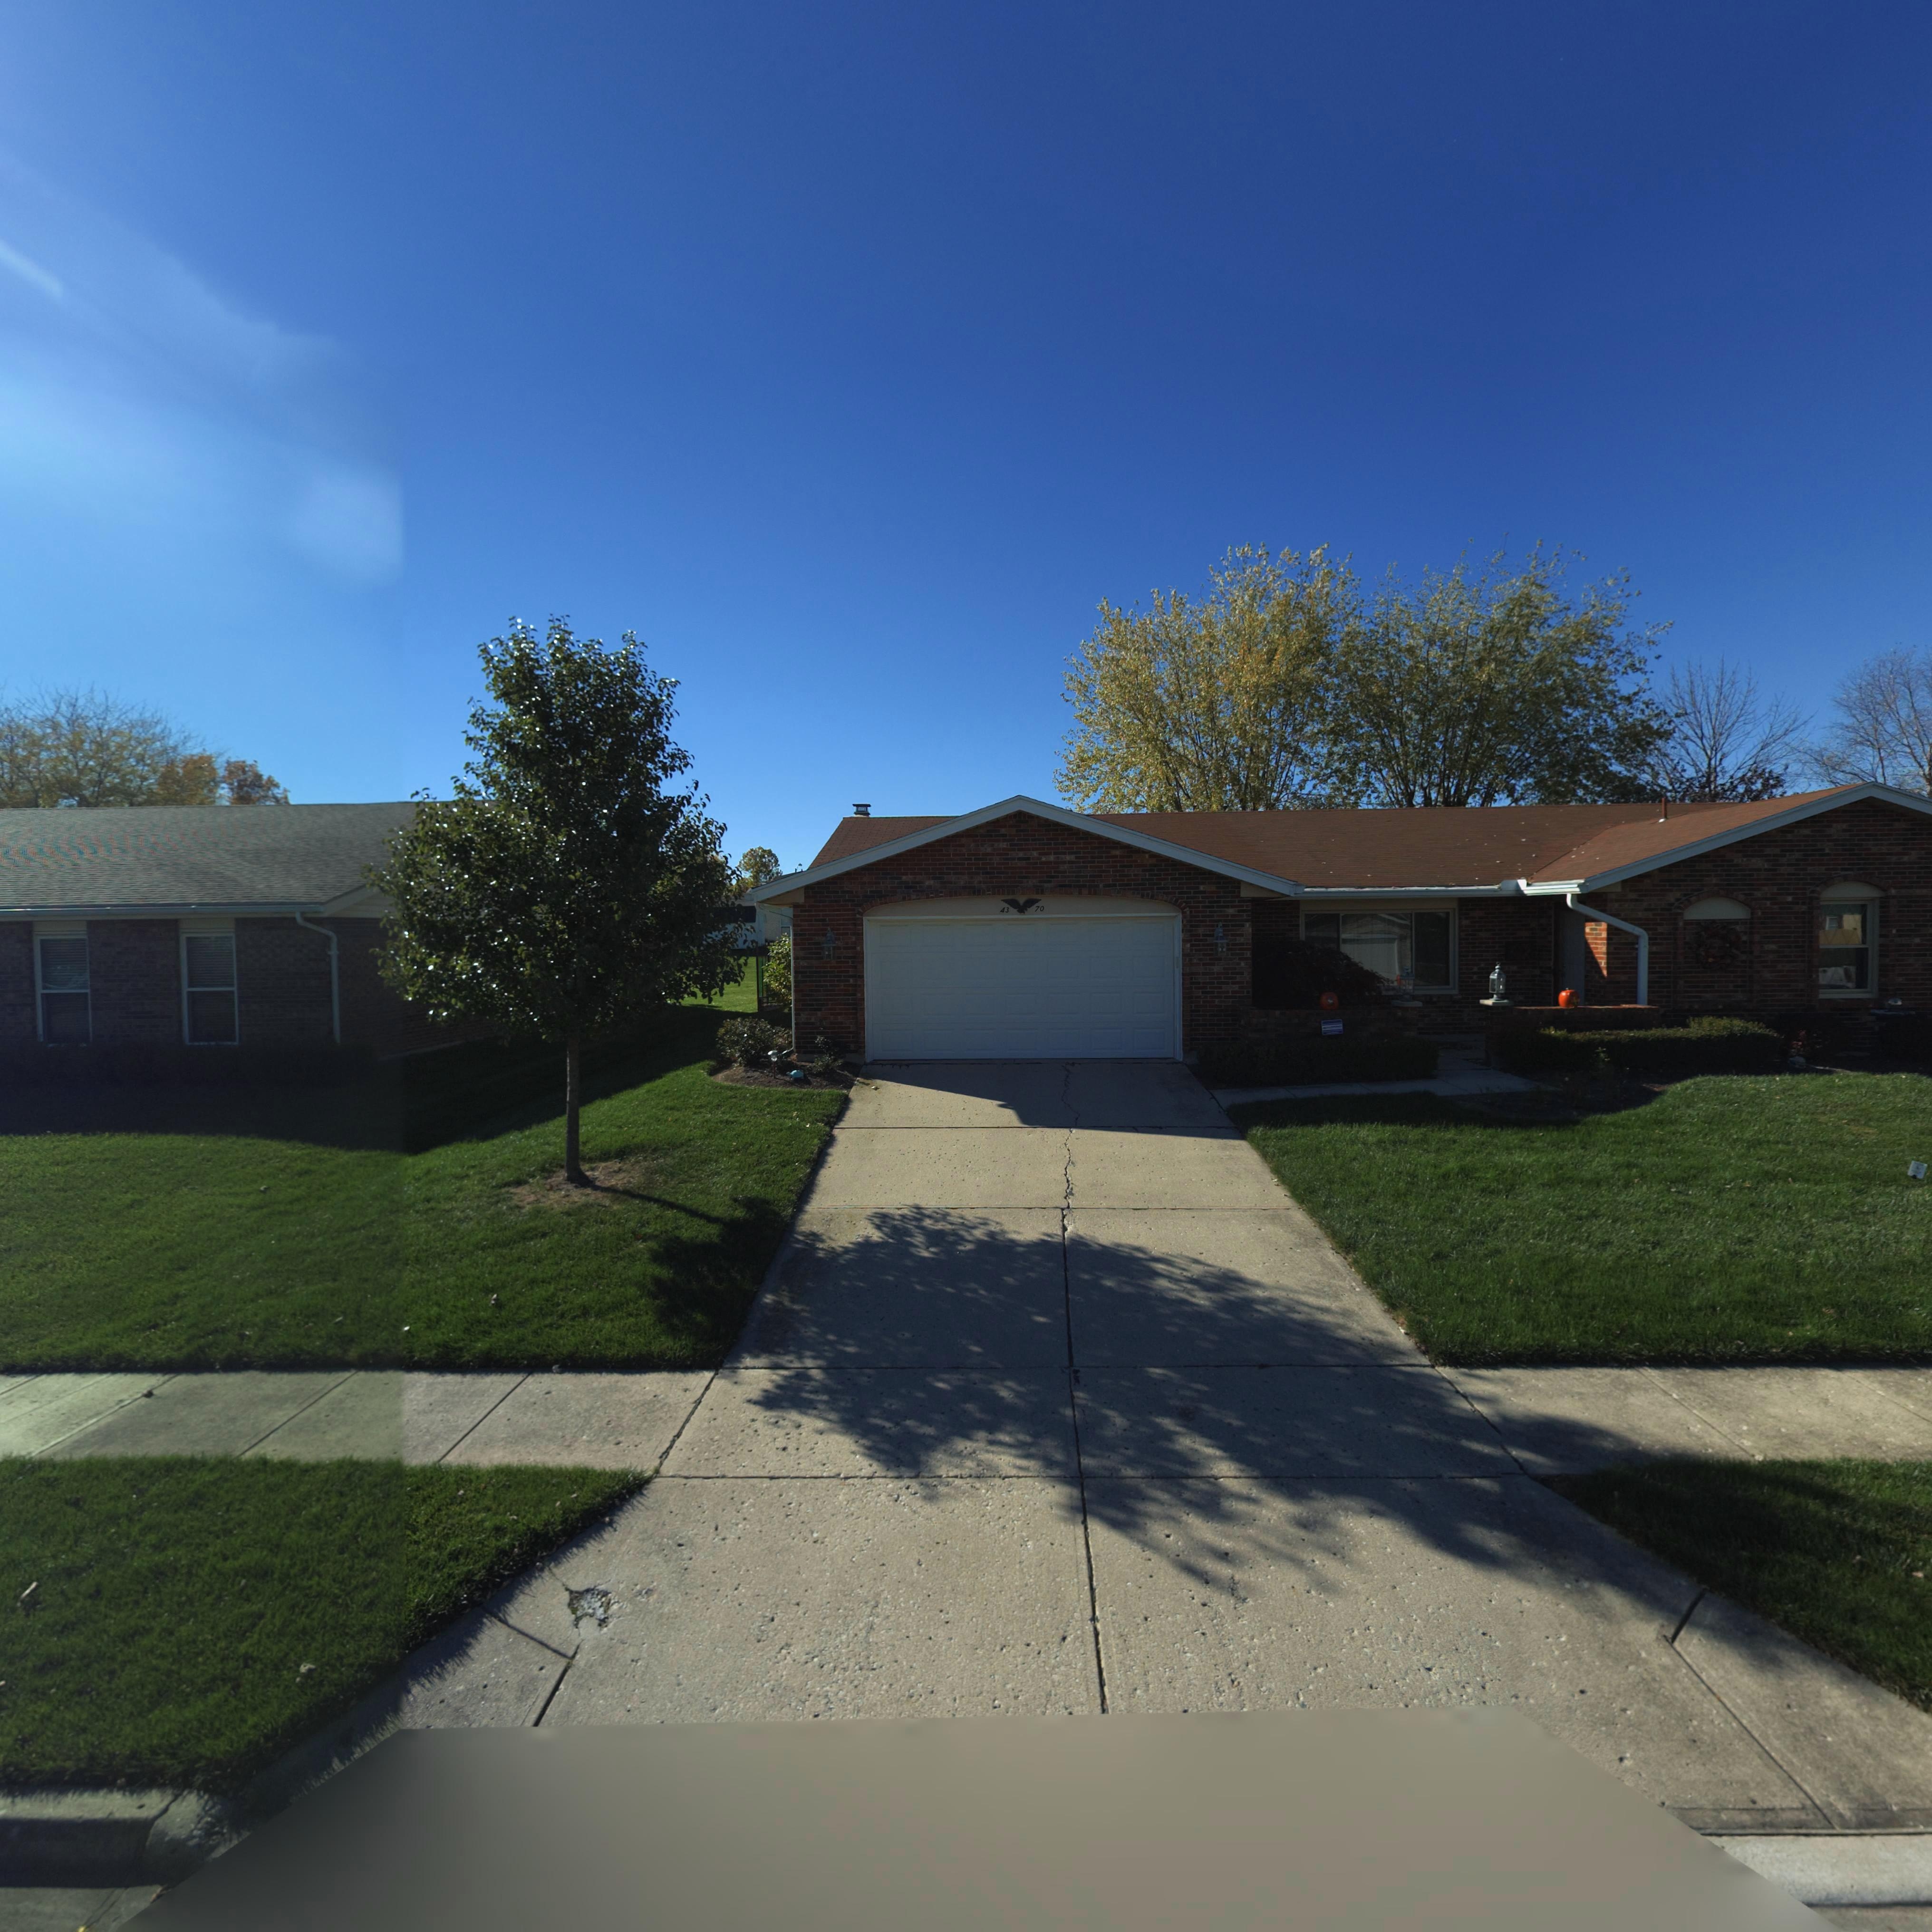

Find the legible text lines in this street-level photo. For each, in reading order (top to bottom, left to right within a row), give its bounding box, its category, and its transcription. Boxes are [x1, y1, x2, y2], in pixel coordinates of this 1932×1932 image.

[999, 906, 1045, 913] StreetNumber: 43*70